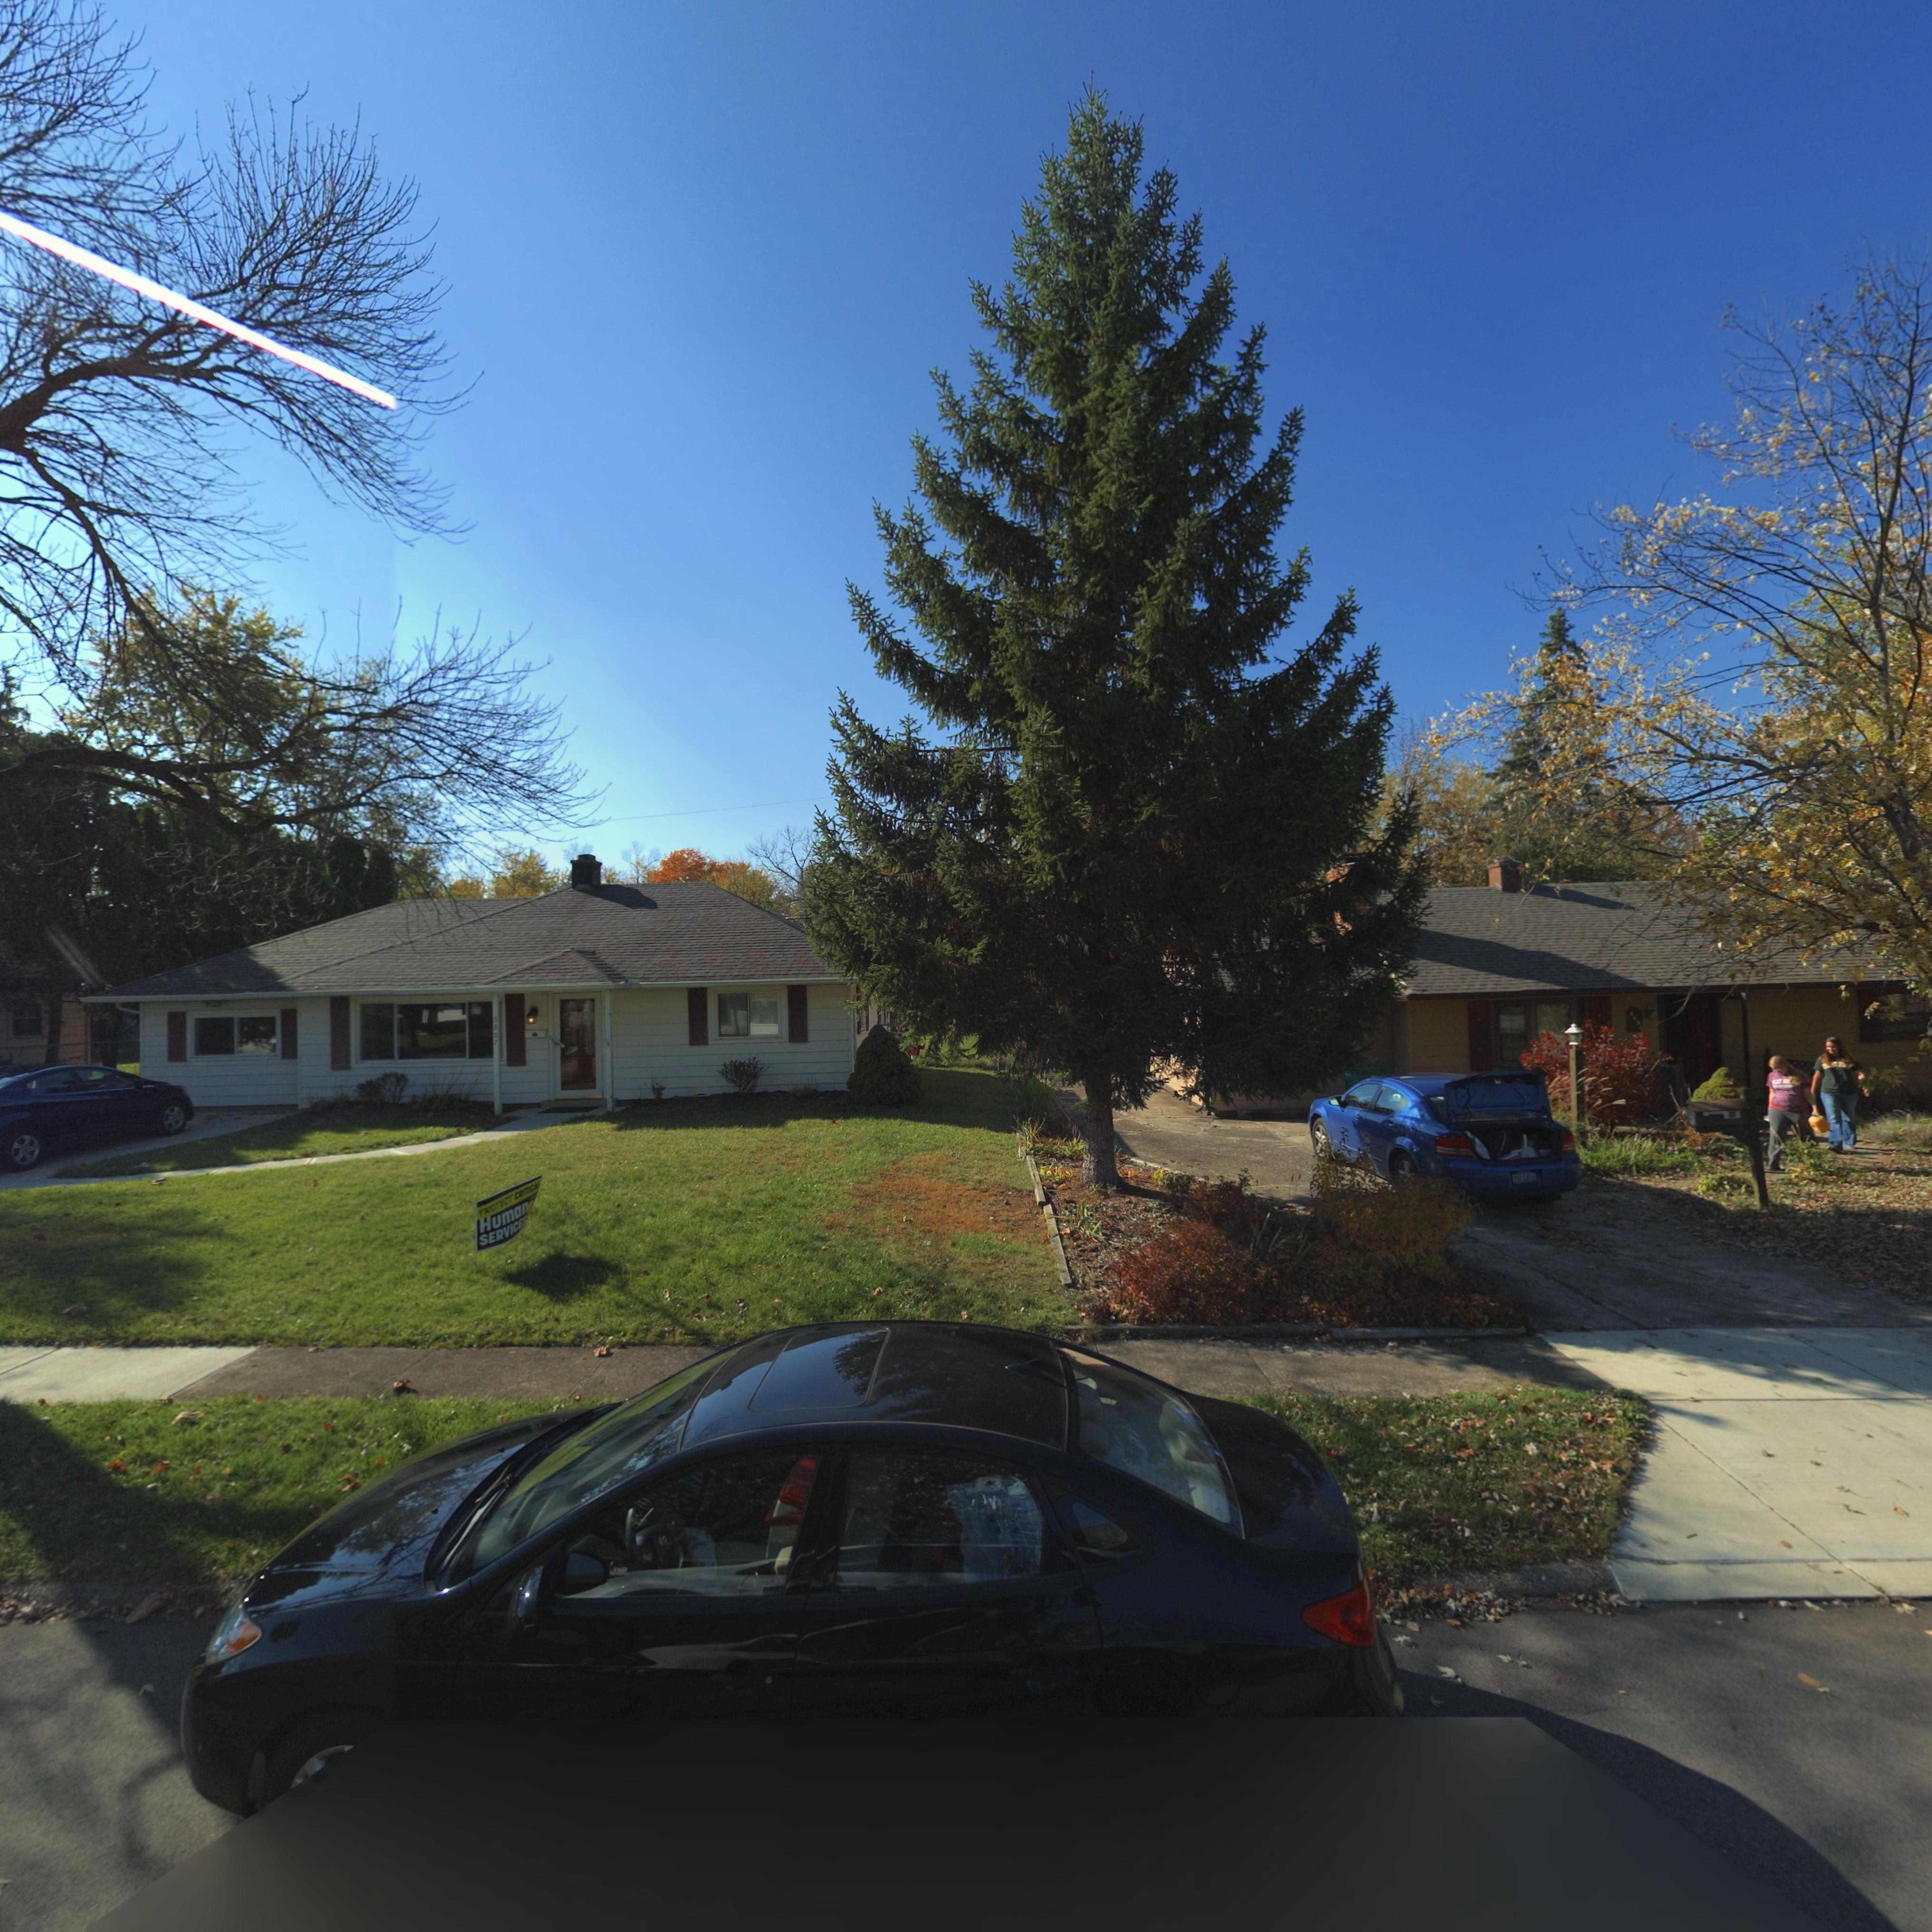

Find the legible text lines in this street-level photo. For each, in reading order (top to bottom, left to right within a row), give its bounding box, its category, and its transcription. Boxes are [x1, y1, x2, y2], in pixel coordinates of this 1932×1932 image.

[492, 1014, 499, 1047] StreetNumber: 3807
[477, 1179, 541, 1219] None: PROTECT CRITICAL
[478, 1216, 524, 1248] None: SERVICE
[478, 1199, 530, 1235] None: Human